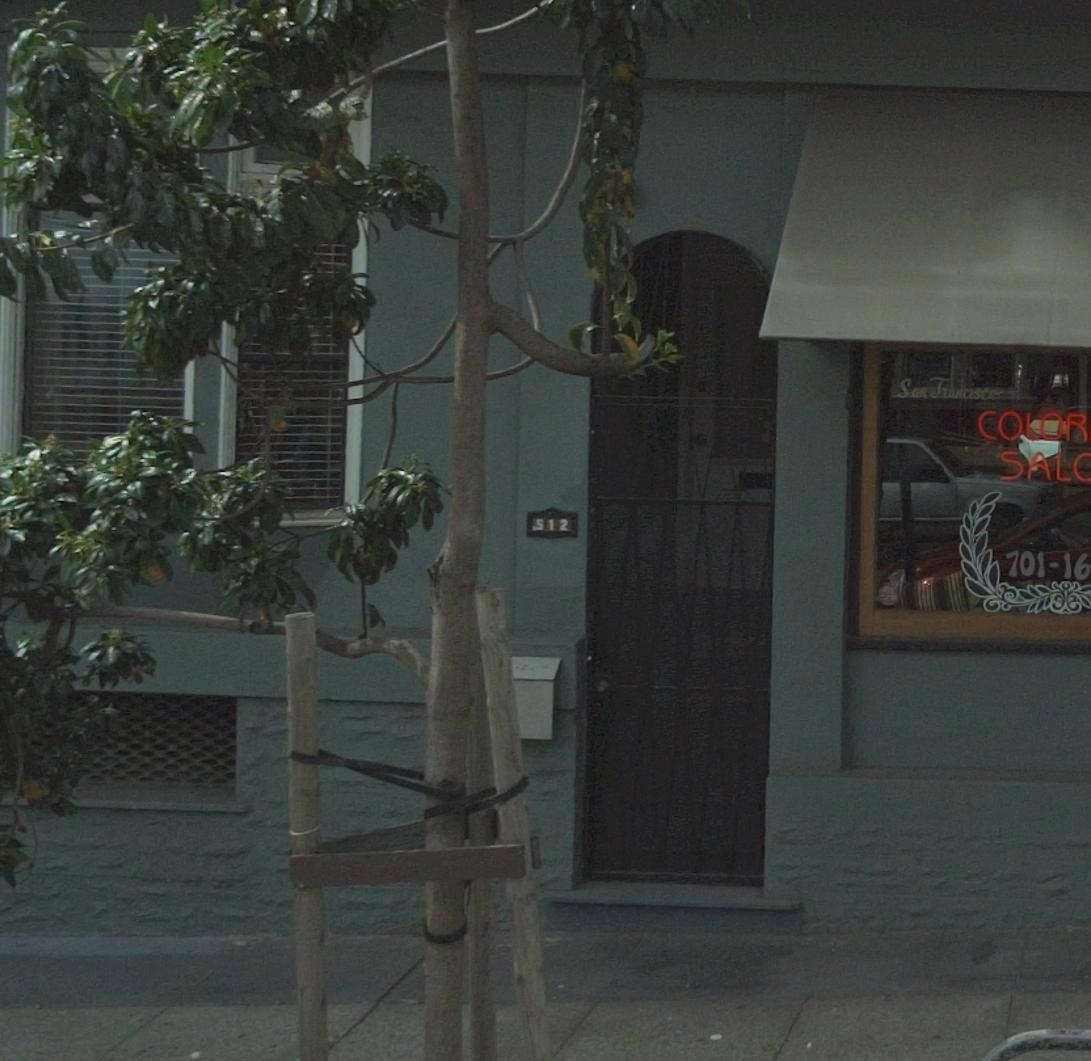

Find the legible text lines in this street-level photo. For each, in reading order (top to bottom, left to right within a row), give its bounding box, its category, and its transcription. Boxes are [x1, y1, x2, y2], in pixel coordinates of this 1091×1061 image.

[975, 408, 1088, 443] None: COLOR
[998, 448, 1085, 483] None: SAL
[531, 518, 570, 531] StreetNumber: 512
[1003, 549, 1090, 580] None: 701-16